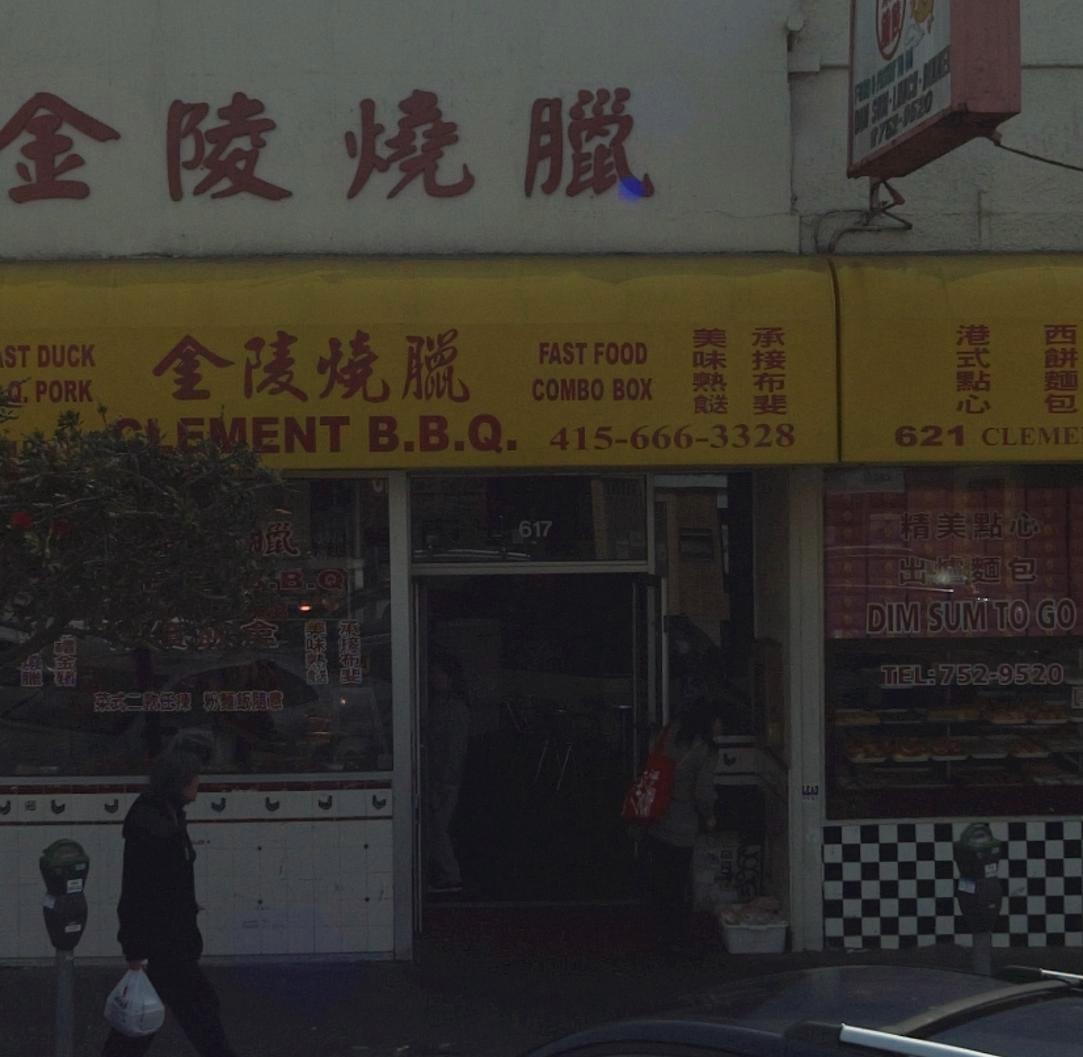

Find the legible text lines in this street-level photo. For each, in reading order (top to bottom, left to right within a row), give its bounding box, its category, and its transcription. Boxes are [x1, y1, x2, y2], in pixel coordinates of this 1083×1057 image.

[3, 343, 96, 369] None: ST DUCK
[537, 340, 647, 365] None: FAST FOOD
[34, 379, 94, 404] None: PORK
[530, 376, 655, 402] None: COMBO BOX
[251, 413, 518, 455] BusinessName: ENT B.B.Q.
[547, 423, 795, 452] None: 415-666-3328
[893, 424, 965, 448] StreetNumber: 621
[981, 425, 1080, 447] StreetName: CLEME
[518, 520, 553, 538] StreetNumber: 617
[278, 569, 345, 592] BusinessName: B.Q
[865, 597, 1077, 635] None: DIM SUM TO GO
[880, 662, 1065, 686] None: TEL: 752-9520